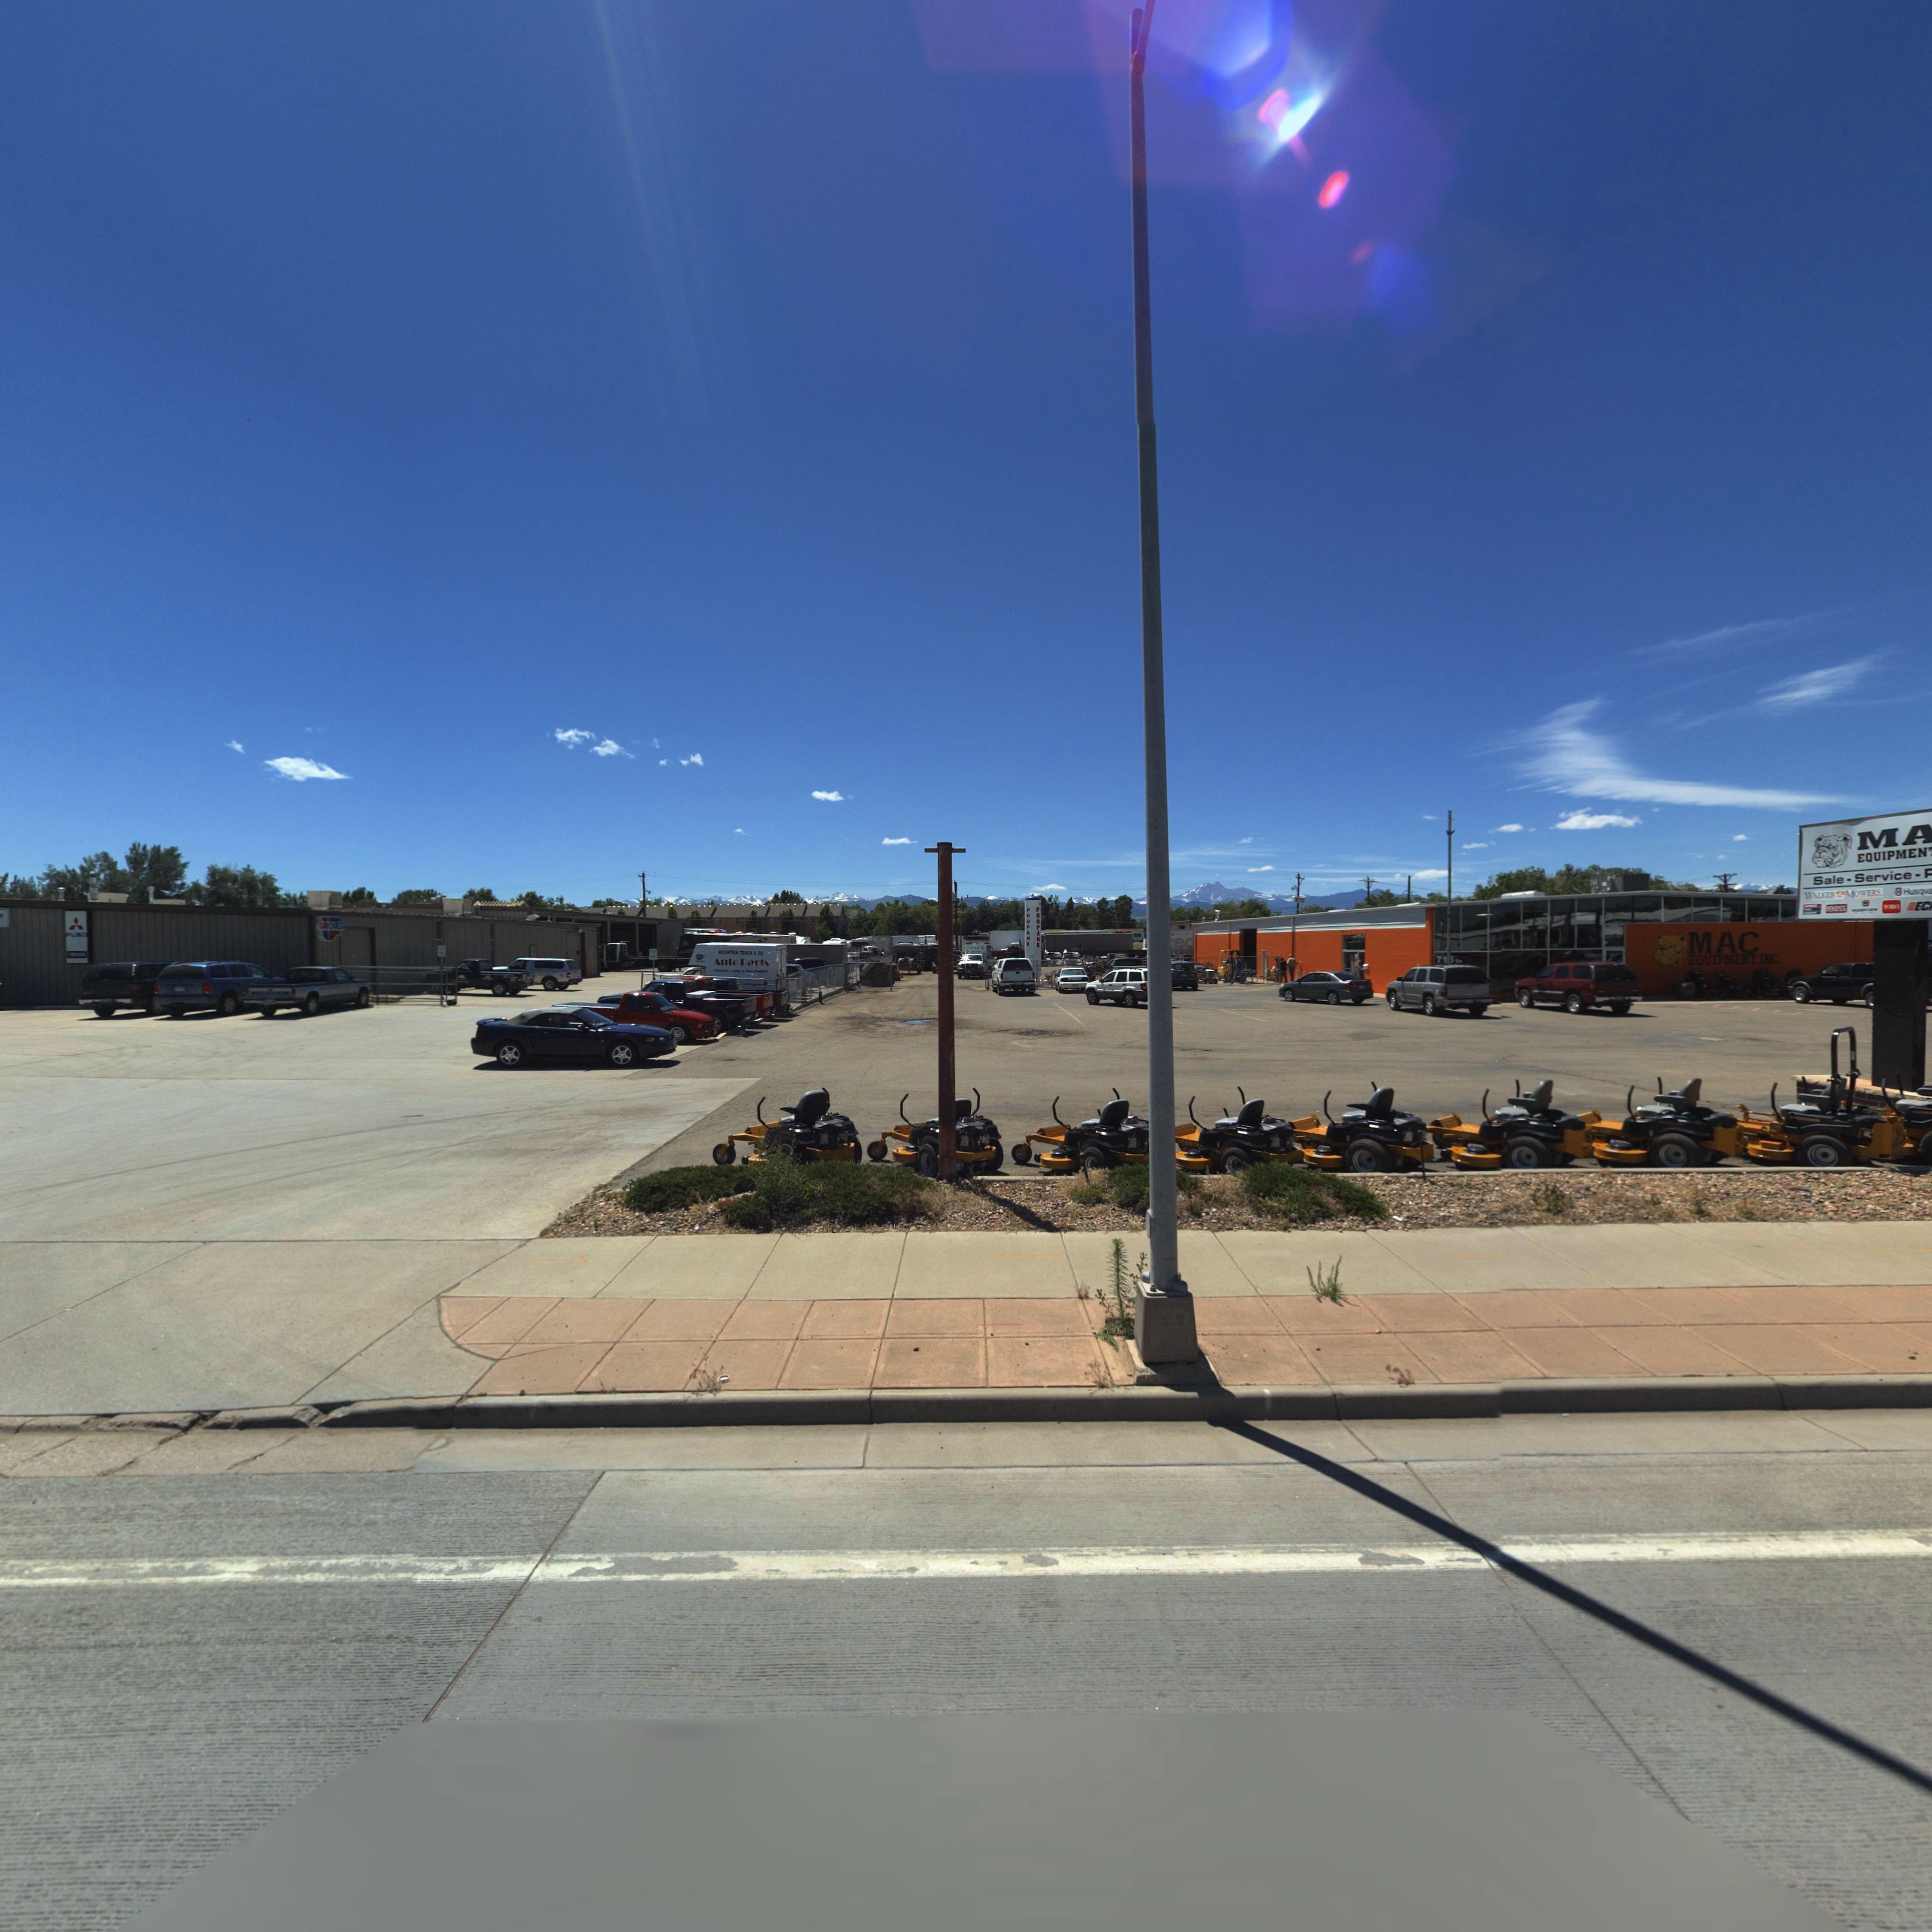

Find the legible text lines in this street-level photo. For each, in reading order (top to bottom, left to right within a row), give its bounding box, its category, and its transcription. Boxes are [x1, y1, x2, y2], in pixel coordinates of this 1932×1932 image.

[1856, 827, 1899, 851] BusinessName: M
[1857, 846, 1927, 864] BusinessName: EQUIPMEN
[970, 946, 985, 949] BusinessName: MAC
[1688, 931, 1760, 954] BusinessName: MAC
[1435, 955, 1454, 964] StreetNumber: 71*
[1687, 953, 1782, 965] BusinessName: EQUIPMENT. INC.